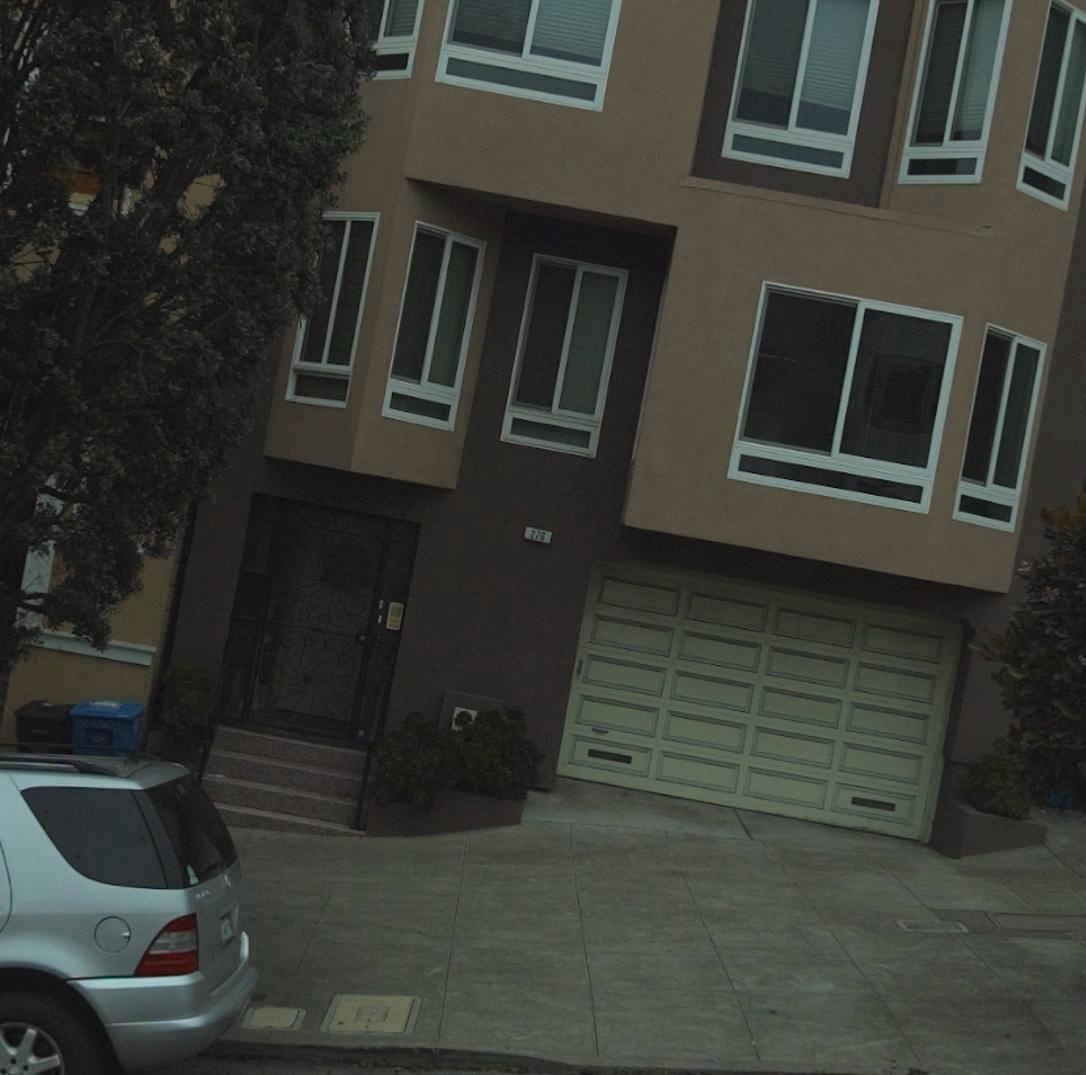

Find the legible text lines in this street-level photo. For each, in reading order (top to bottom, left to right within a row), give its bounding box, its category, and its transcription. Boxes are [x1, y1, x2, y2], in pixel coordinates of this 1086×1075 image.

[527, 528, 547, 543] StreetNumber: 276